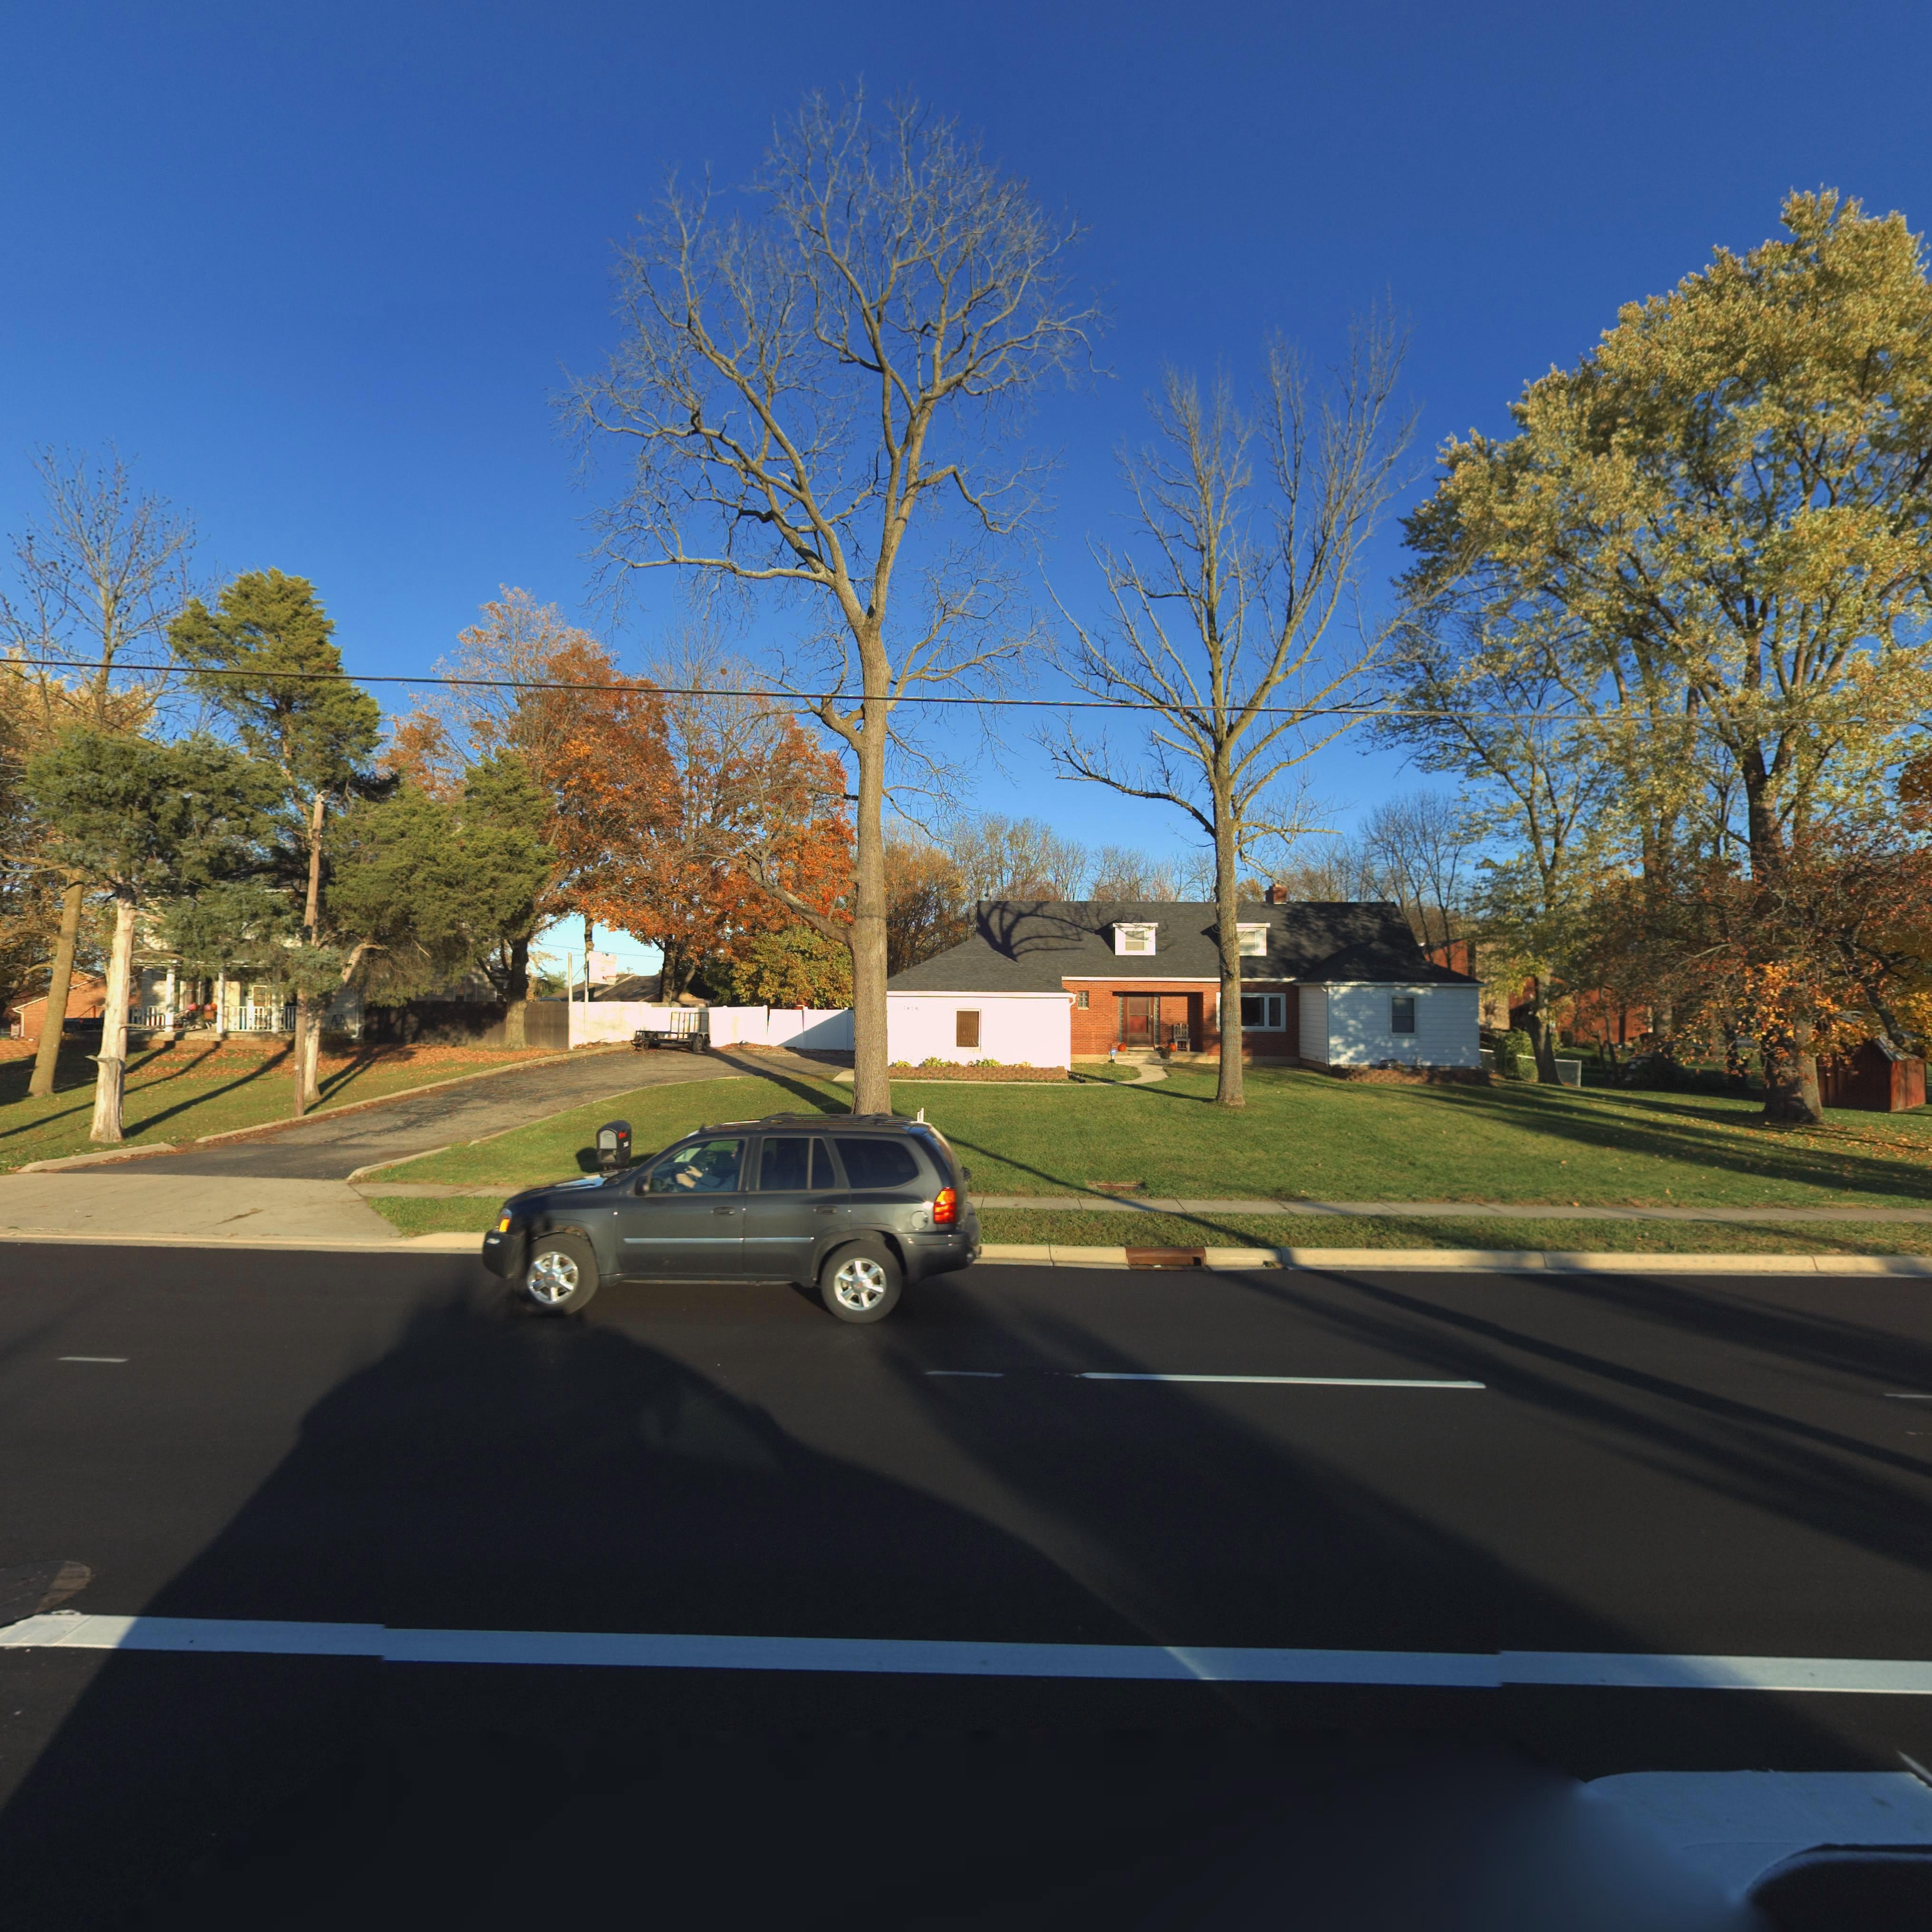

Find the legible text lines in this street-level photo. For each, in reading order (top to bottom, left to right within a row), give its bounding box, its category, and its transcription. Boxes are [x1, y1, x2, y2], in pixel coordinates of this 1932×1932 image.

[902, 1005, 919, 1012] StreetNumber: 7*36